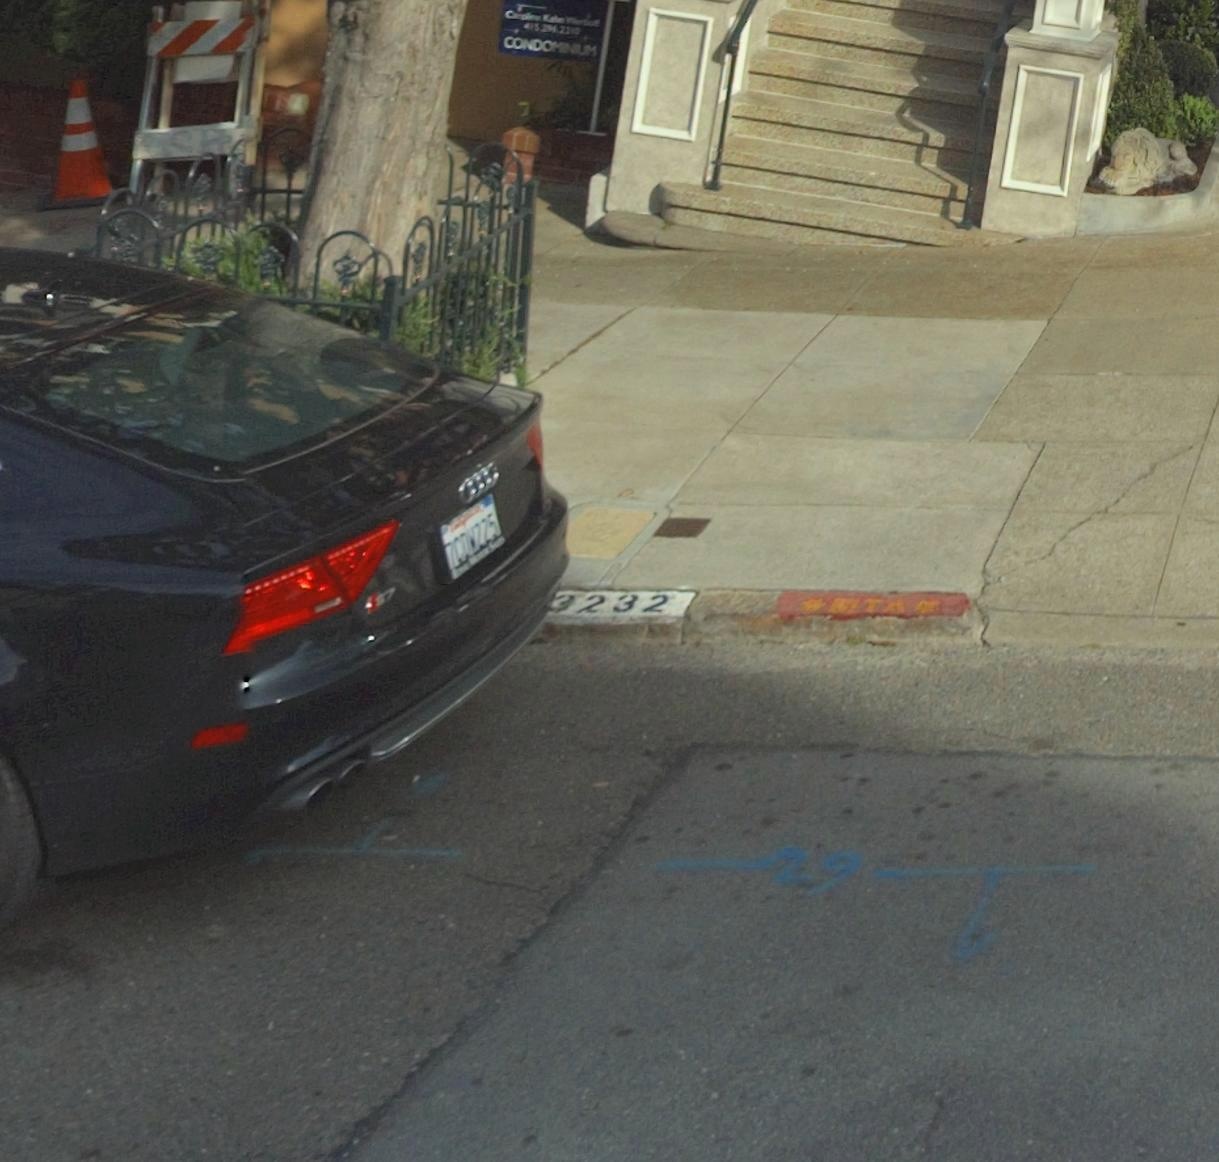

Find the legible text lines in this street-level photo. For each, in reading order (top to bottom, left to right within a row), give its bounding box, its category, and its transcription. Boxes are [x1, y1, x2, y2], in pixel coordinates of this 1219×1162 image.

[500, 31, 600, 60] None: CONDOMINIUM
[439, 508, 505, 570] None: 7CDW225
[373, 582, 399, 612] None: S7
[545, 590, 671, 616] StreetNumber: 3232
[819, 594, 909, 617] None: MTA